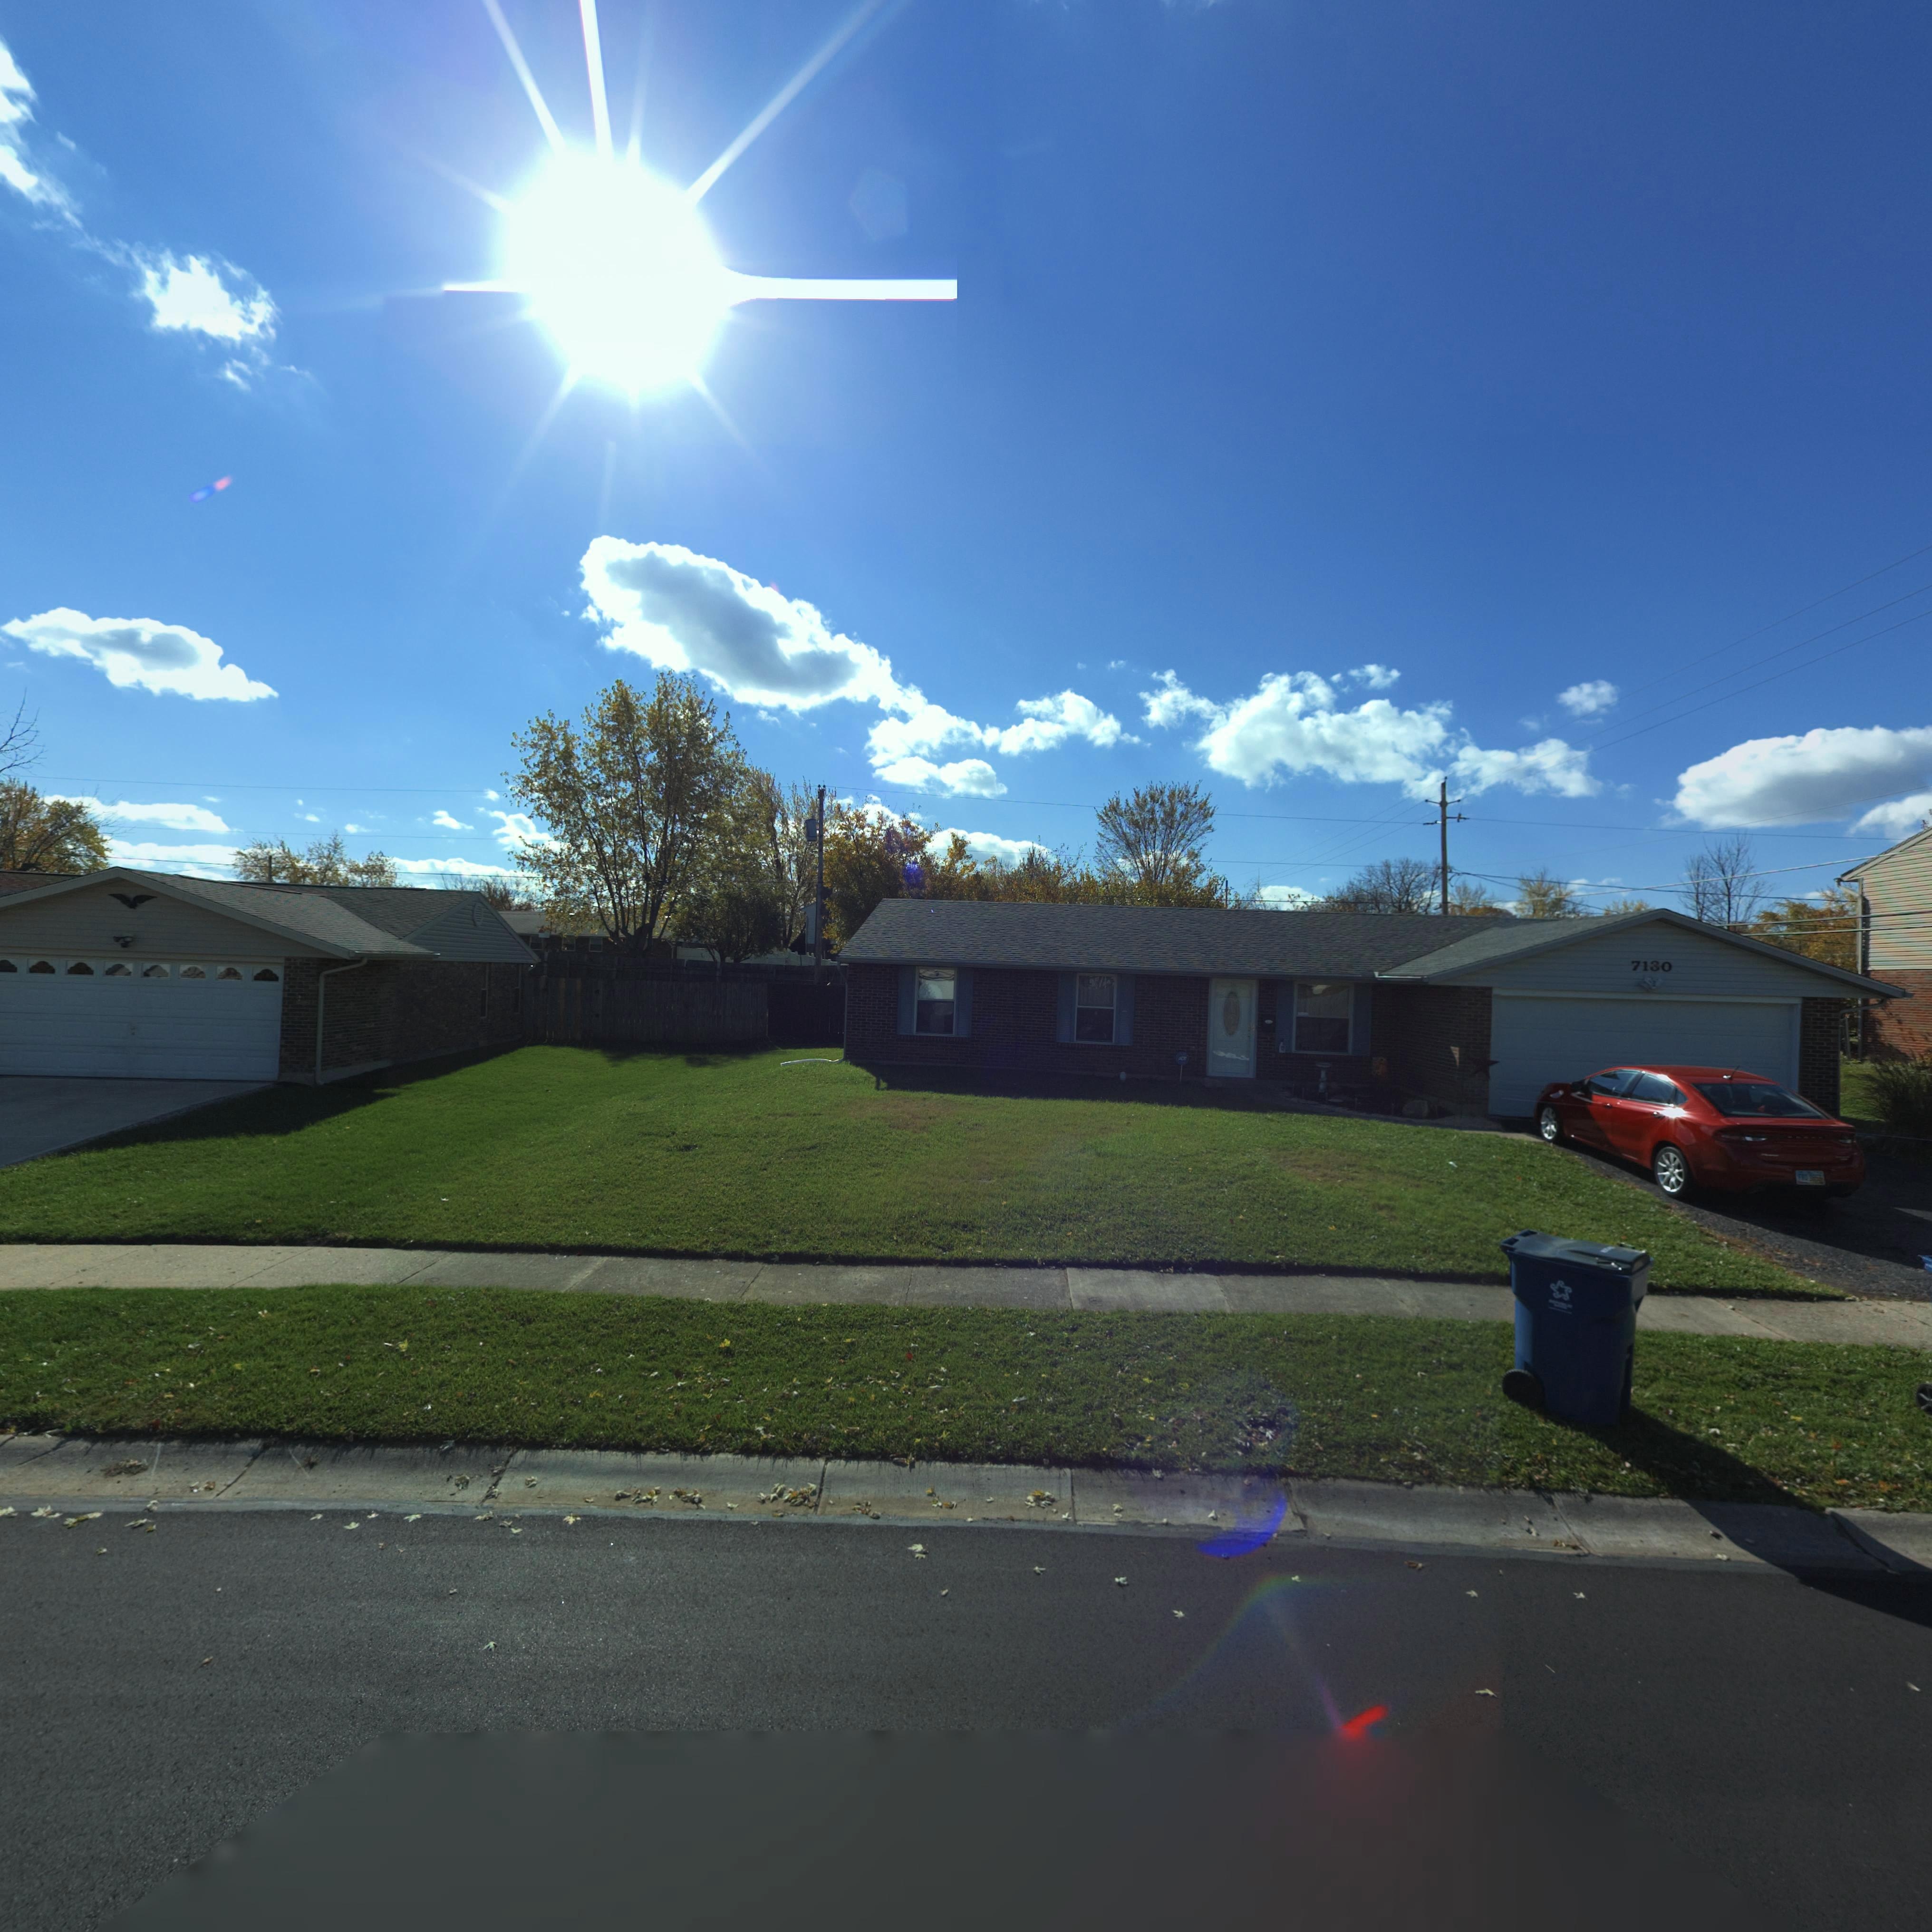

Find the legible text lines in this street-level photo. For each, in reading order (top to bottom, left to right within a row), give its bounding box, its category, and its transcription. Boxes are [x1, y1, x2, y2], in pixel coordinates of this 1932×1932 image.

[1630, 959, 1673, 974] StreetNumber: 7130